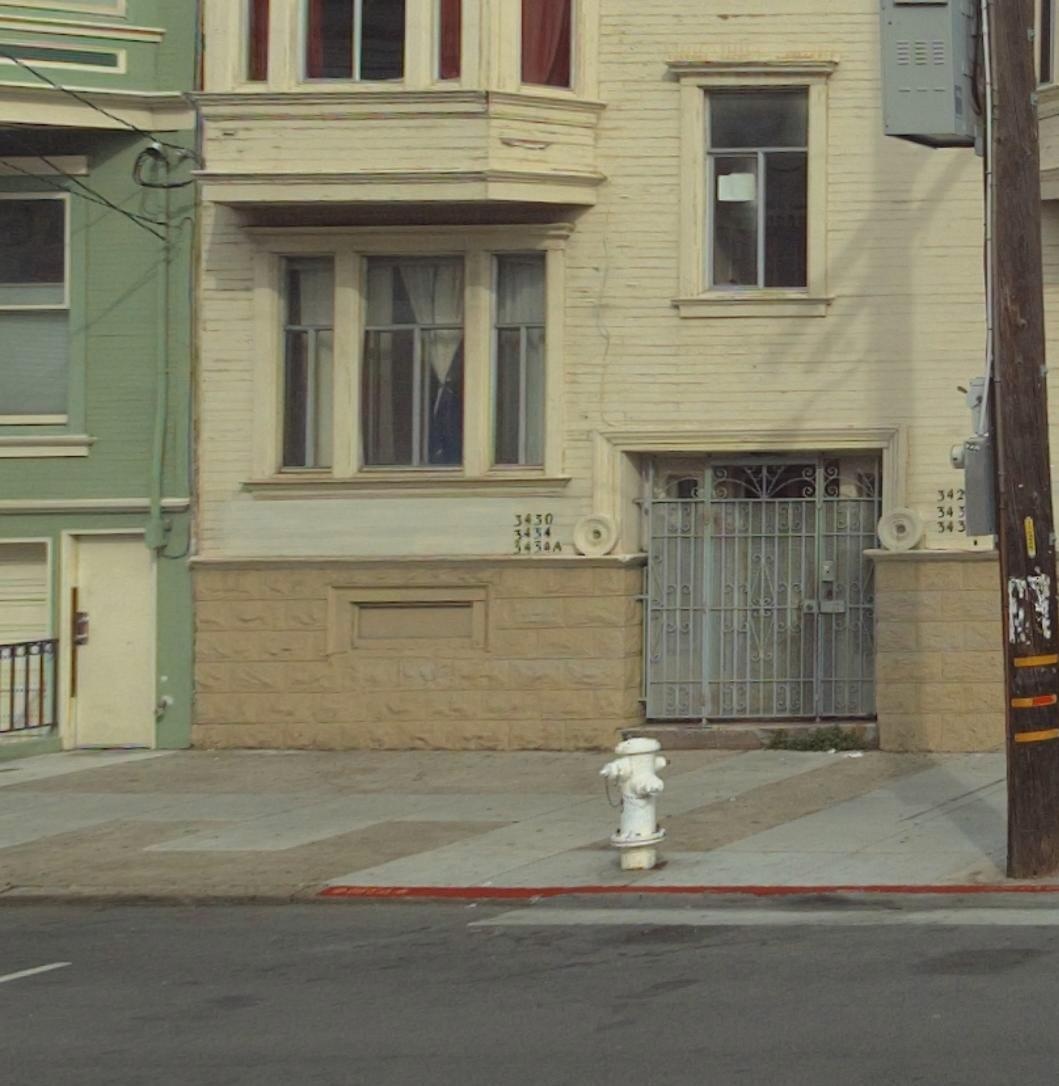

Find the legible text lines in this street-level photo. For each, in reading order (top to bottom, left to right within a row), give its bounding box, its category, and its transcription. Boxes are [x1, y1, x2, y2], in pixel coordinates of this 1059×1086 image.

[935, 486, 967, 503] StreetNumber: 342
[511, 525, 555, 542] StreetNumber: 3434
[512, 510, 556, 529] StreetNumber: 3430
[935, 503, 967, 520] StreetNumber: 343
[934, 518, 968, 535] StreetNumber: 343
[512, 538, 563, 555] StreetNumber: 3434A